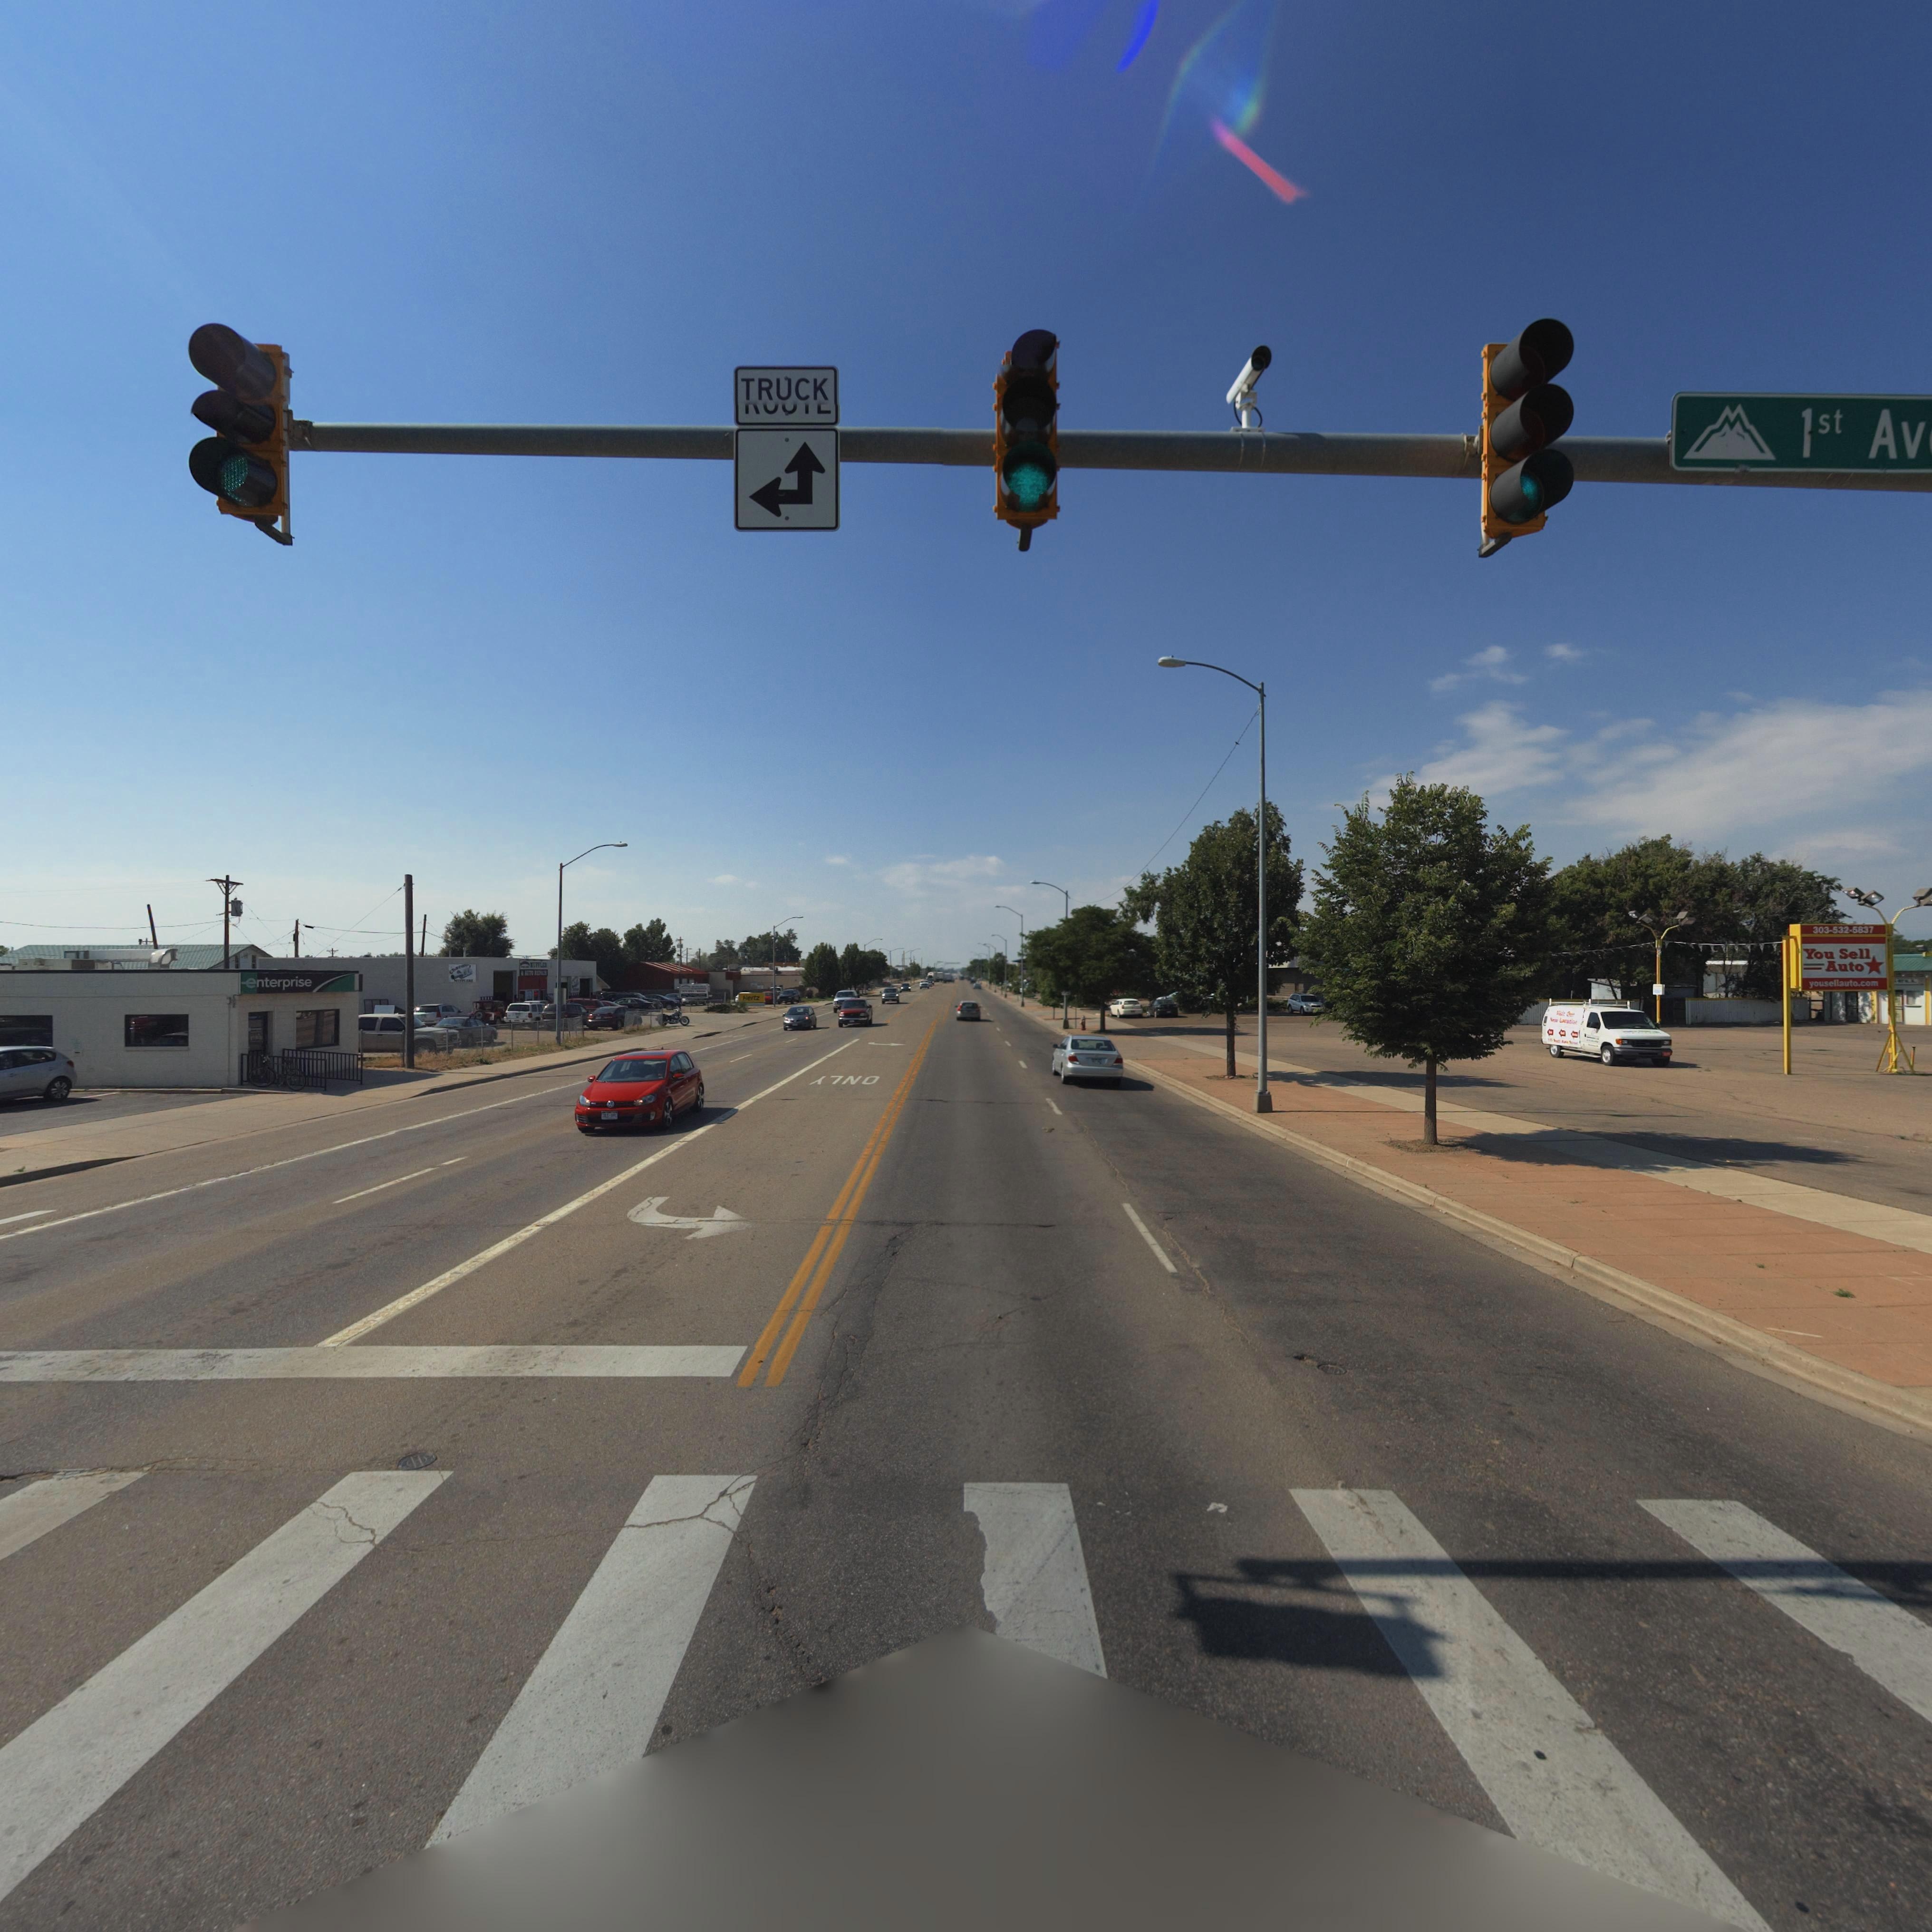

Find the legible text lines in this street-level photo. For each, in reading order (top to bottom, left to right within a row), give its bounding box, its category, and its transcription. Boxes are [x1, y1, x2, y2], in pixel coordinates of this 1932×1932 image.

[1799, 406, 1927, 460] StreetName: 1st Av
[1802, 947, 1871, 959] BusinessName: You Sell
[1824, 960, 1865, 972] BusinessName: Auto
[245, 975, 312, 991] BusinessName: enterprise
[742, 995, 760, 1000] BusinessName: Hertz